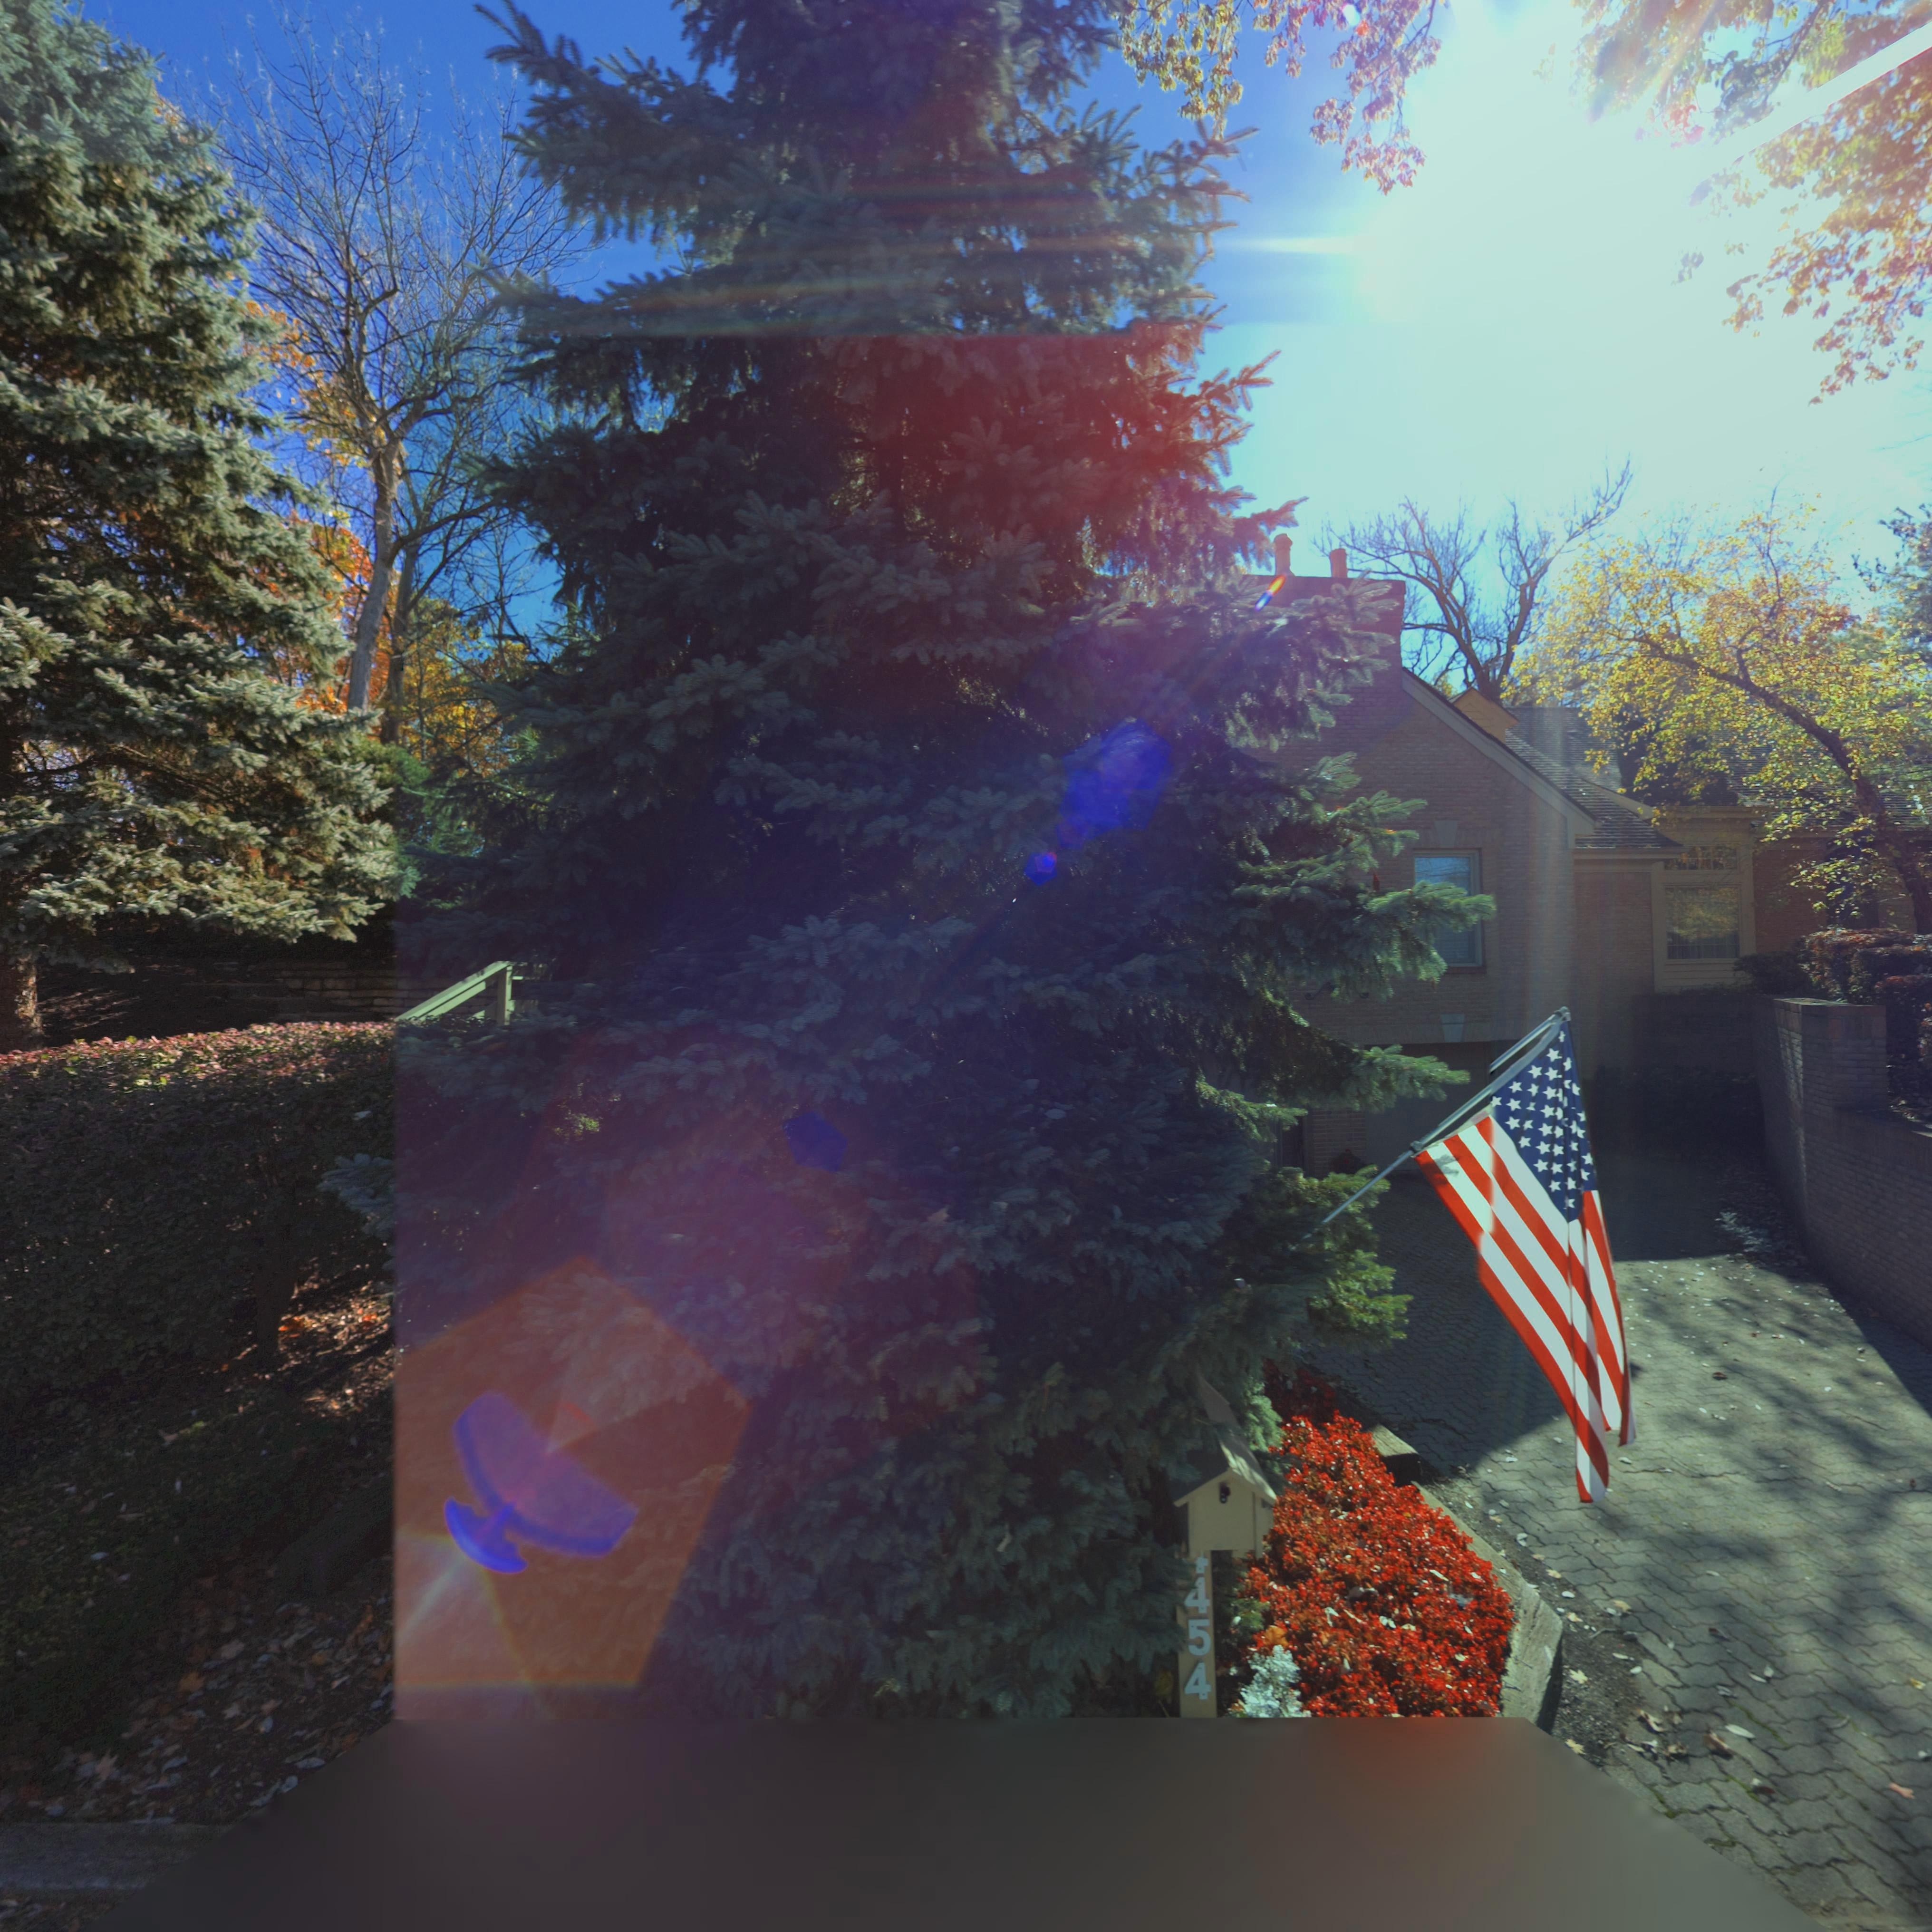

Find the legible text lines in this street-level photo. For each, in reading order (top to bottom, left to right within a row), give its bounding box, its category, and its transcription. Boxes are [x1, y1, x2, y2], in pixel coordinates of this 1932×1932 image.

[1177, 1572, 1217, 1703] StreetNumber: 454